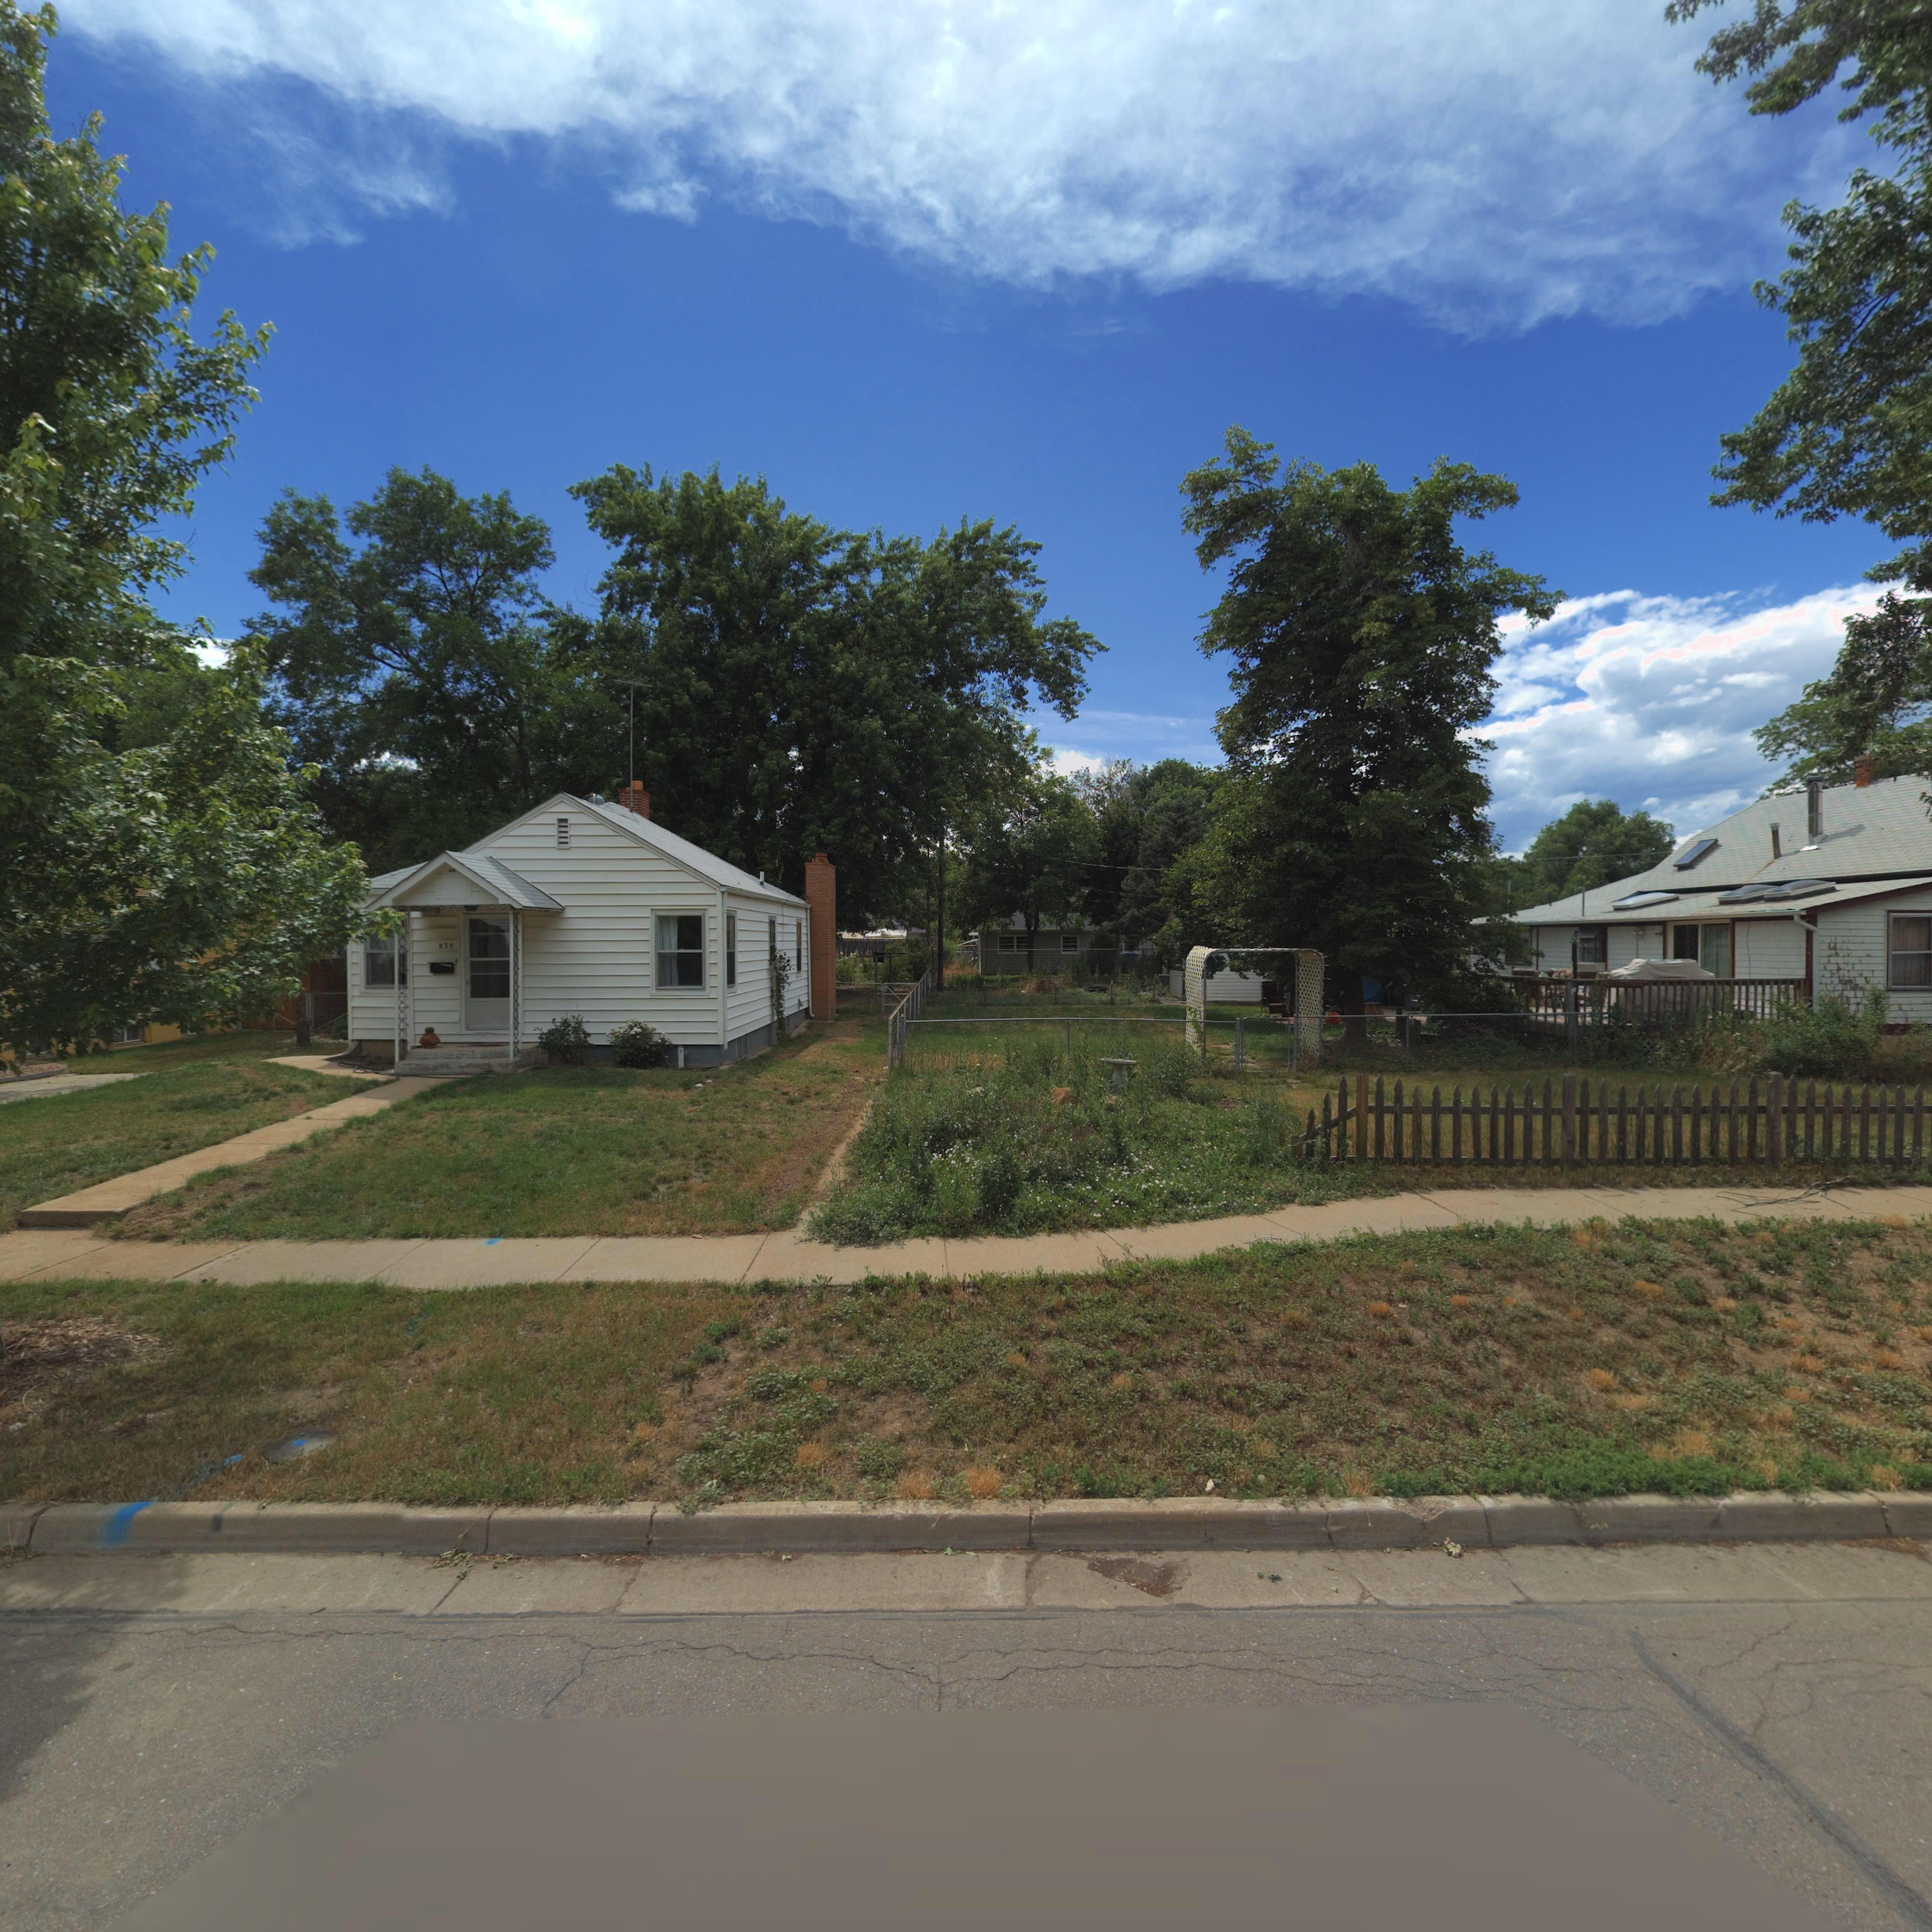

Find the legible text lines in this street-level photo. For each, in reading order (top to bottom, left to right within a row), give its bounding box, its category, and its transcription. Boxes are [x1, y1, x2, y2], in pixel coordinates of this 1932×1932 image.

[437, 941, 454, 949] StreetNumber: 835